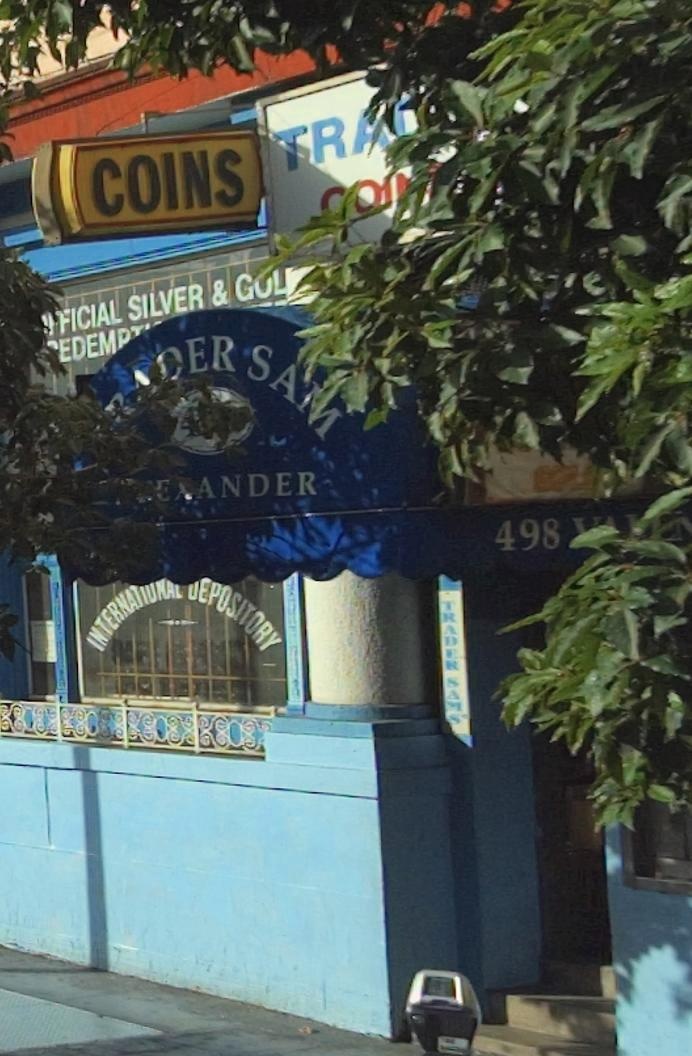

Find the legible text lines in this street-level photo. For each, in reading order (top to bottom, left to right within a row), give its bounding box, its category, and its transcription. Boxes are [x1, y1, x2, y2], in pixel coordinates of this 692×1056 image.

[268, 111, 349, 175] None: TR
[90, 146, 247, 219] None: COINS
[57, 279, 208, 337] None: FICIAL SILVER
[57, 327, 118, 367] None: EDEM
[184, 331, 299, 405] None: ER SA
[218, 468, 323, 500] None: NDER
[493, 516, 563, 552] StreetNumber: 498
[82, 578, 146, 654] None: INTERNAT
[195, 575, 285, 654] None: EPOSITORY
[438, 596, 465, 728] BusinessName: TRADER SAMS